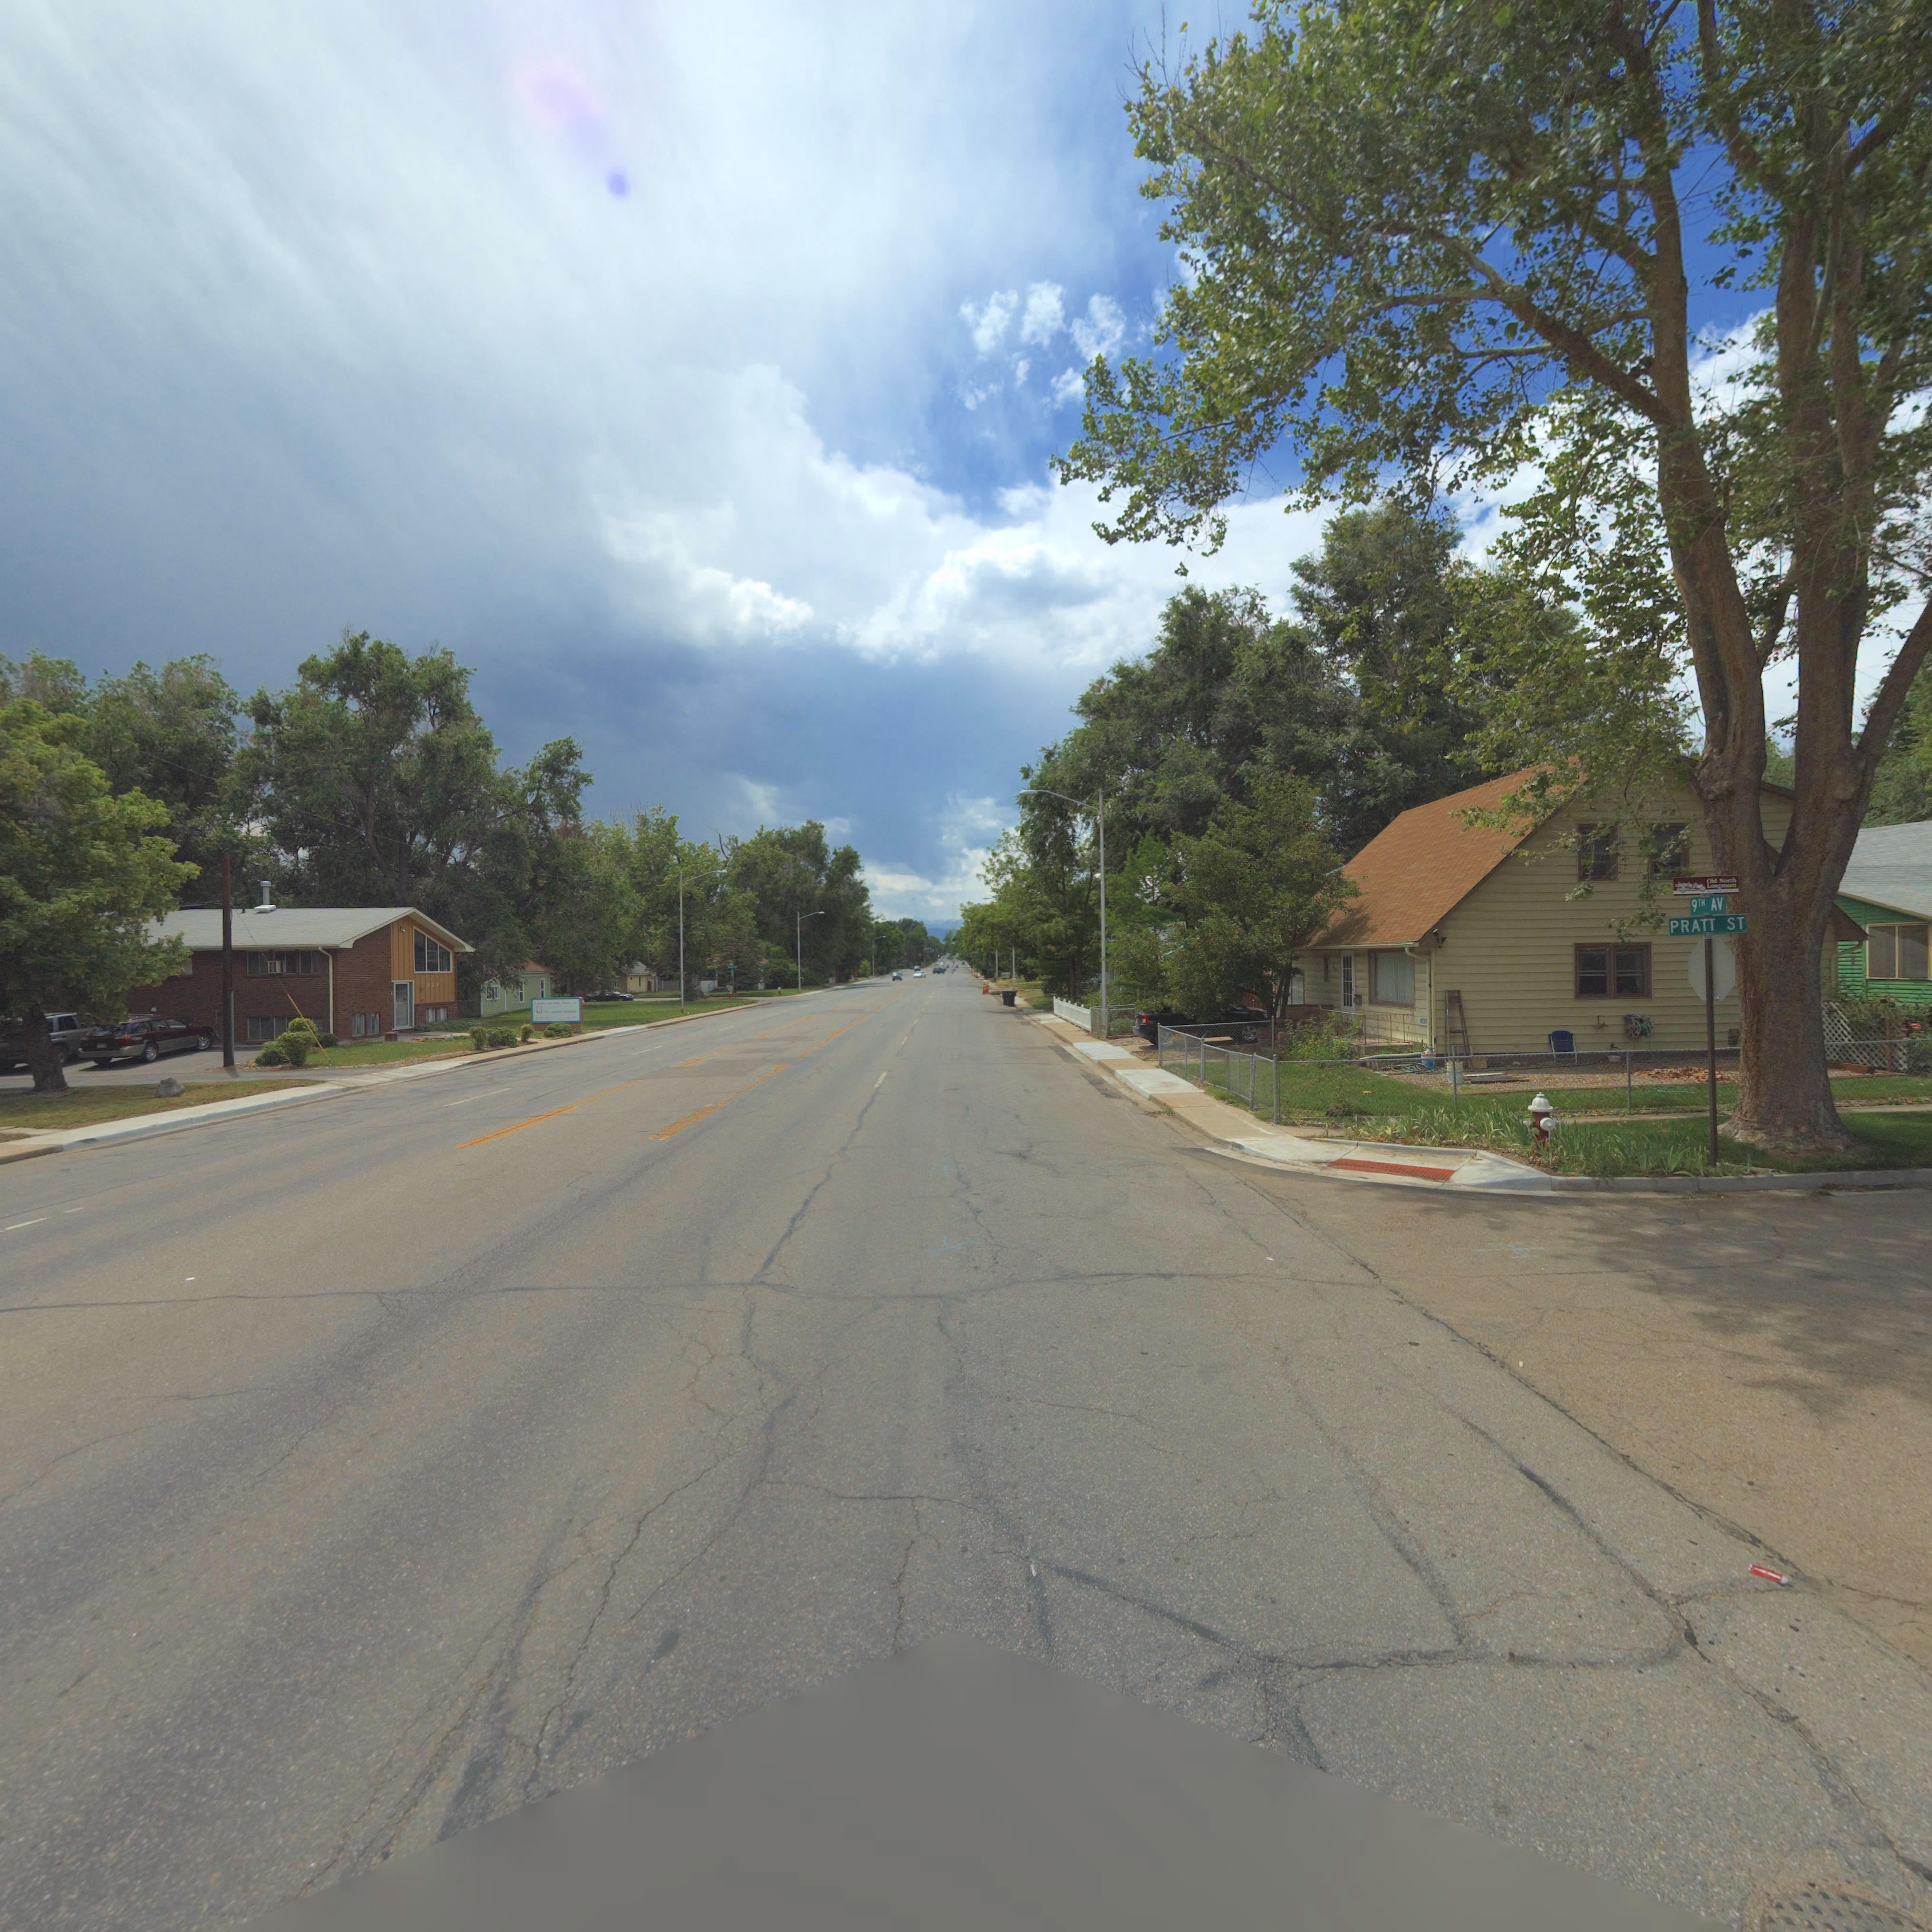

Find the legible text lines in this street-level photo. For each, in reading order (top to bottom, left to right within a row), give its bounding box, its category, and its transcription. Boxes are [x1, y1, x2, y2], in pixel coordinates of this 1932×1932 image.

[1690, 896, 1724, 912] StreetName: 9TH AV
[1670, 916, 1745, 934] StreetName: PRATT ST
[425, 982, 439, 987] StreetNumber: *21